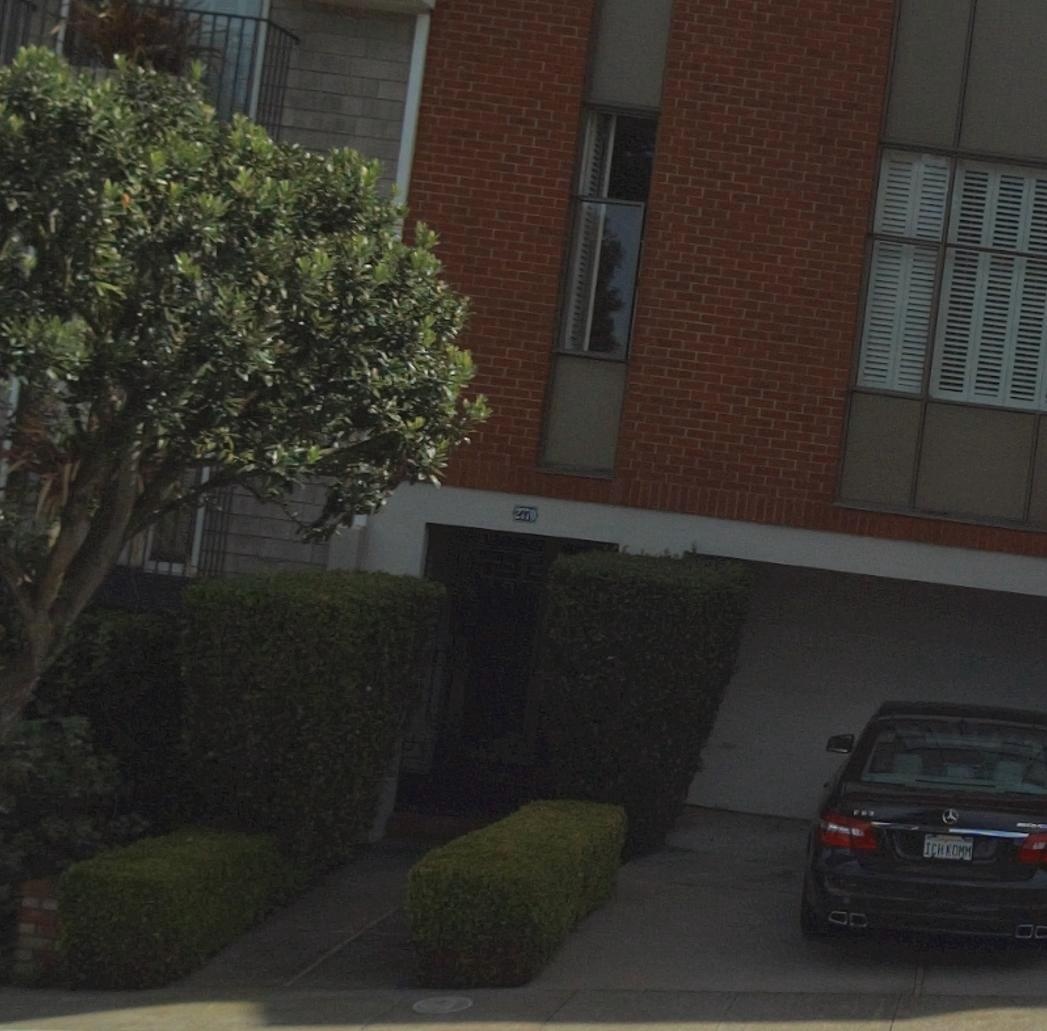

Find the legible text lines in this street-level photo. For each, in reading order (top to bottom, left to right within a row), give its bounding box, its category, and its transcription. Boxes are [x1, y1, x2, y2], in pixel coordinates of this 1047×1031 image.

[513, 505, 539, 524] StreetNumber: 277*
[923, 839, 973, 860] None: ICH**MM